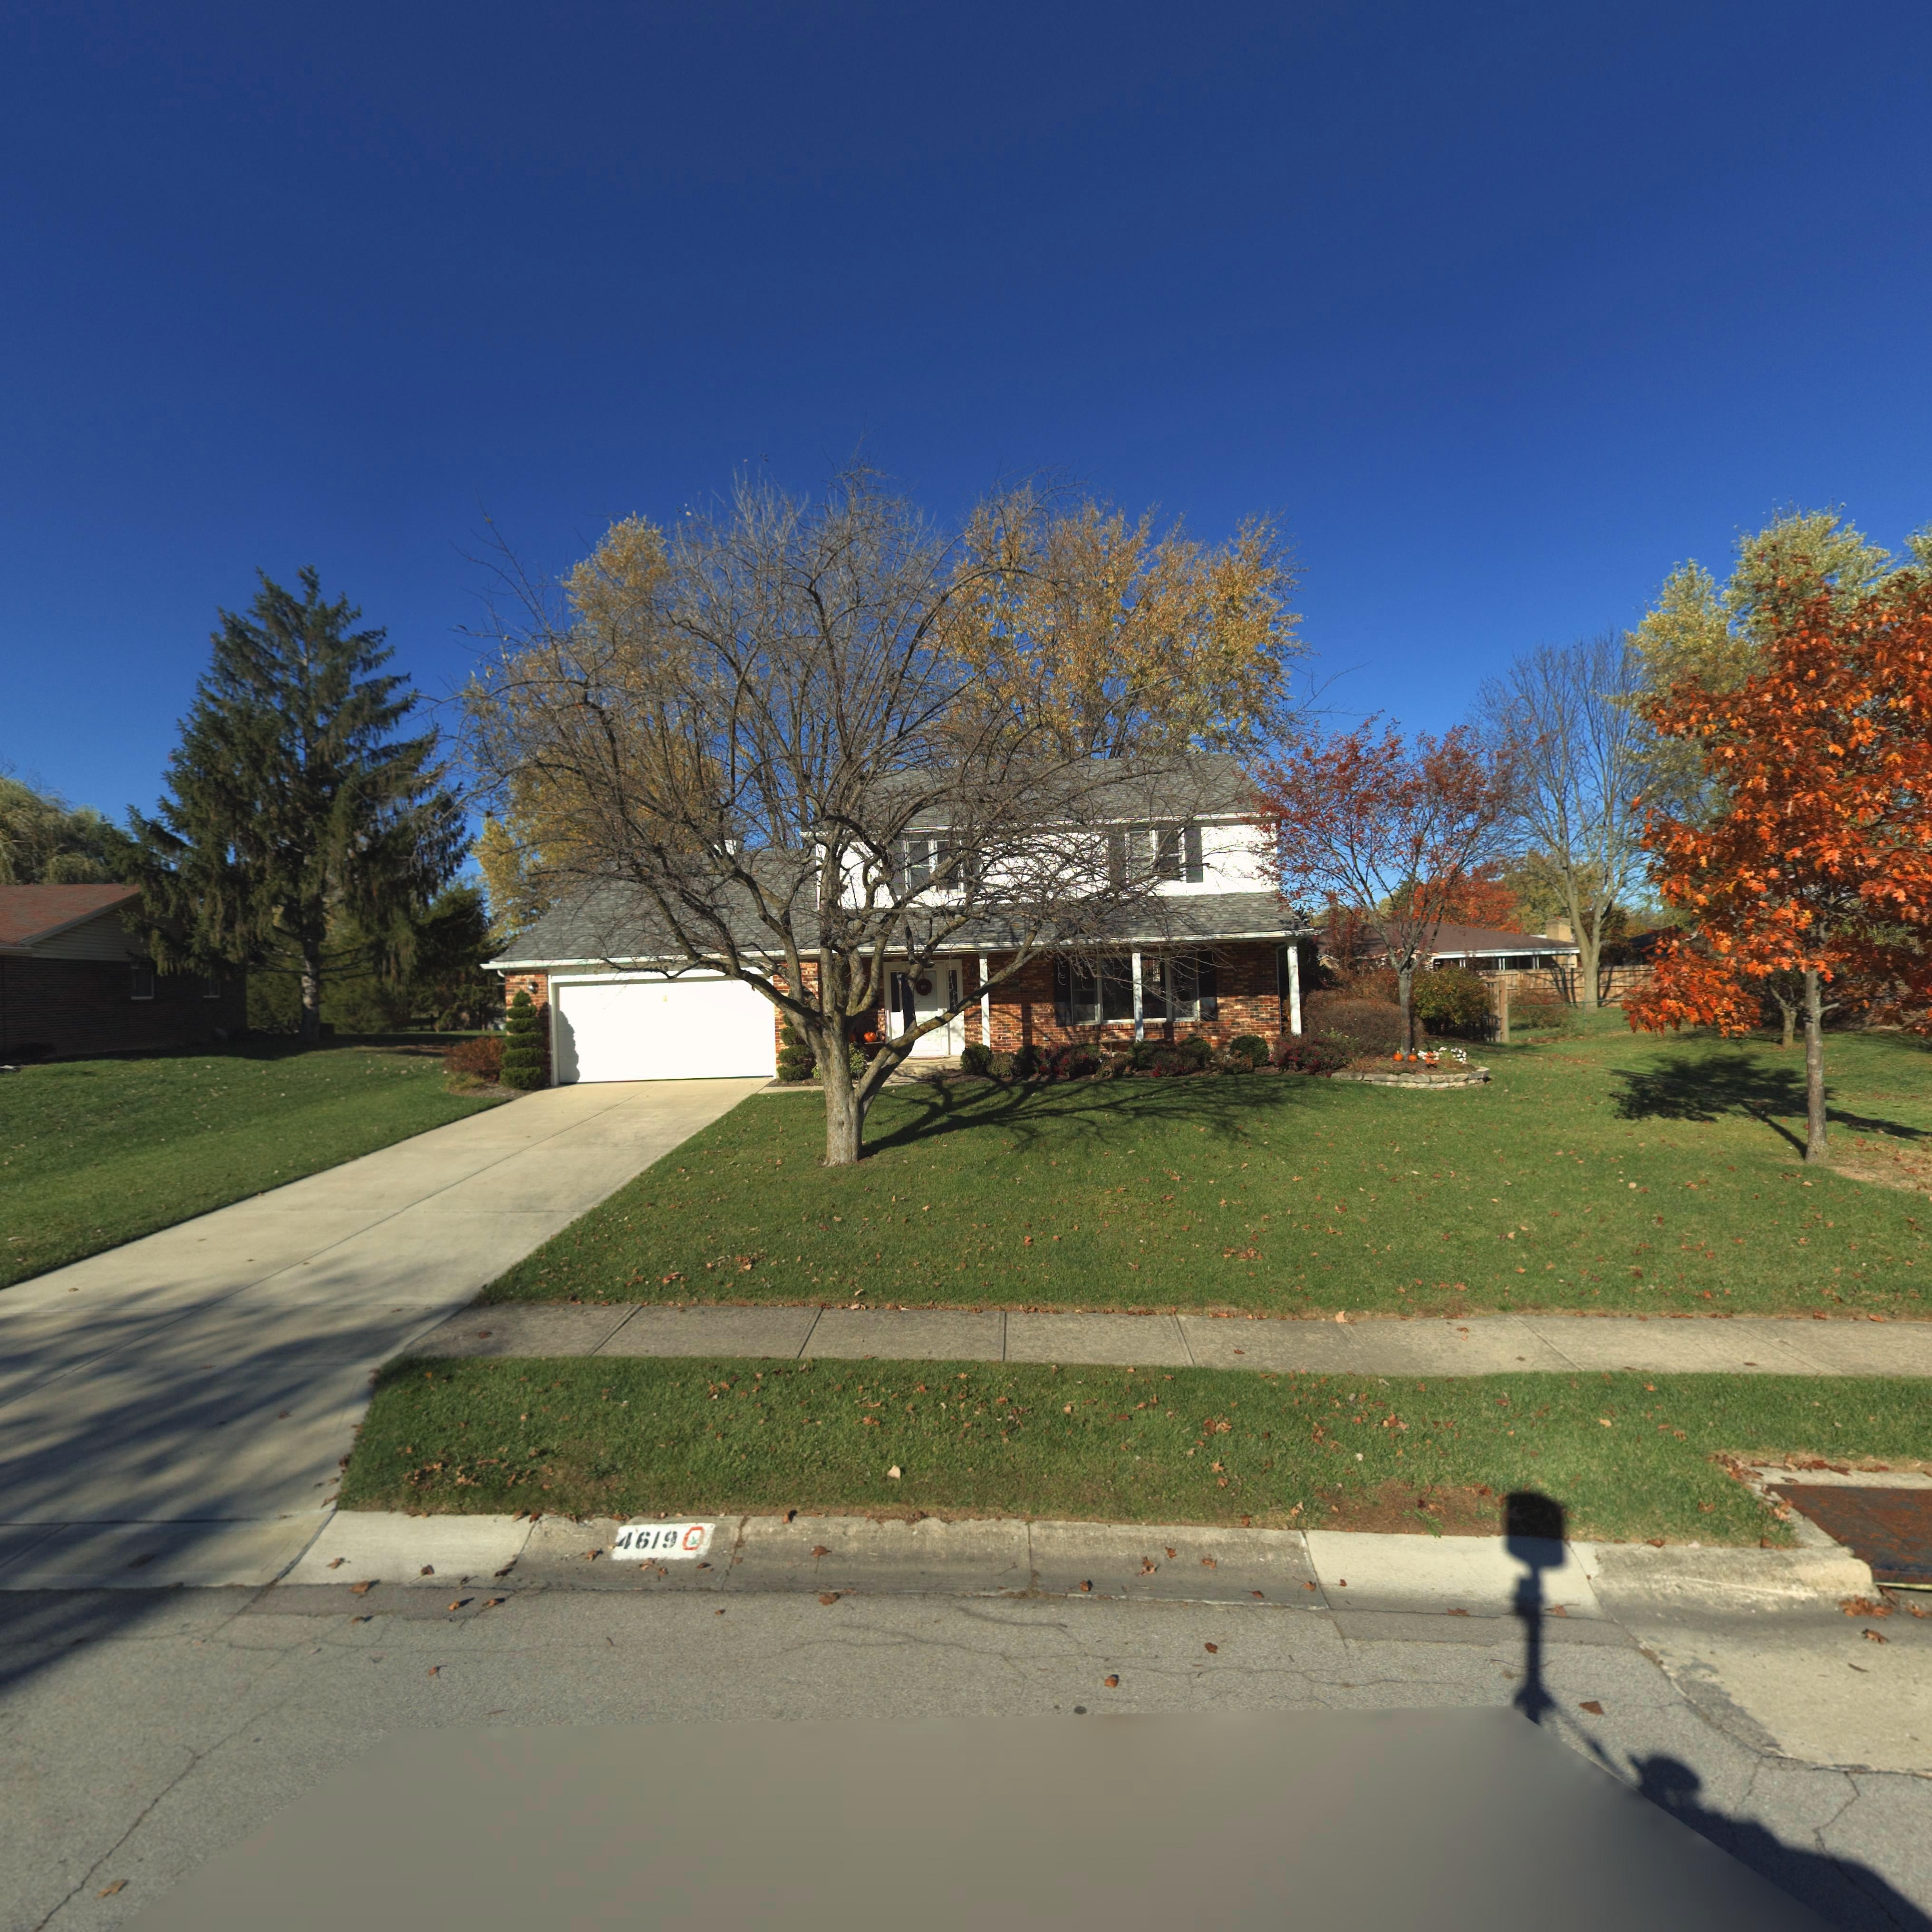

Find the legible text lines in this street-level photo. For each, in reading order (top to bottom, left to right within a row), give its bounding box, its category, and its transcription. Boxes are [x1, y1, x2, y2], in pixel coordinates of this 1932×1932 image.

[663, 965, 669, 973] StreetNumber: 9
[614, 1530, 679, 1550] StreetNumber: 4619